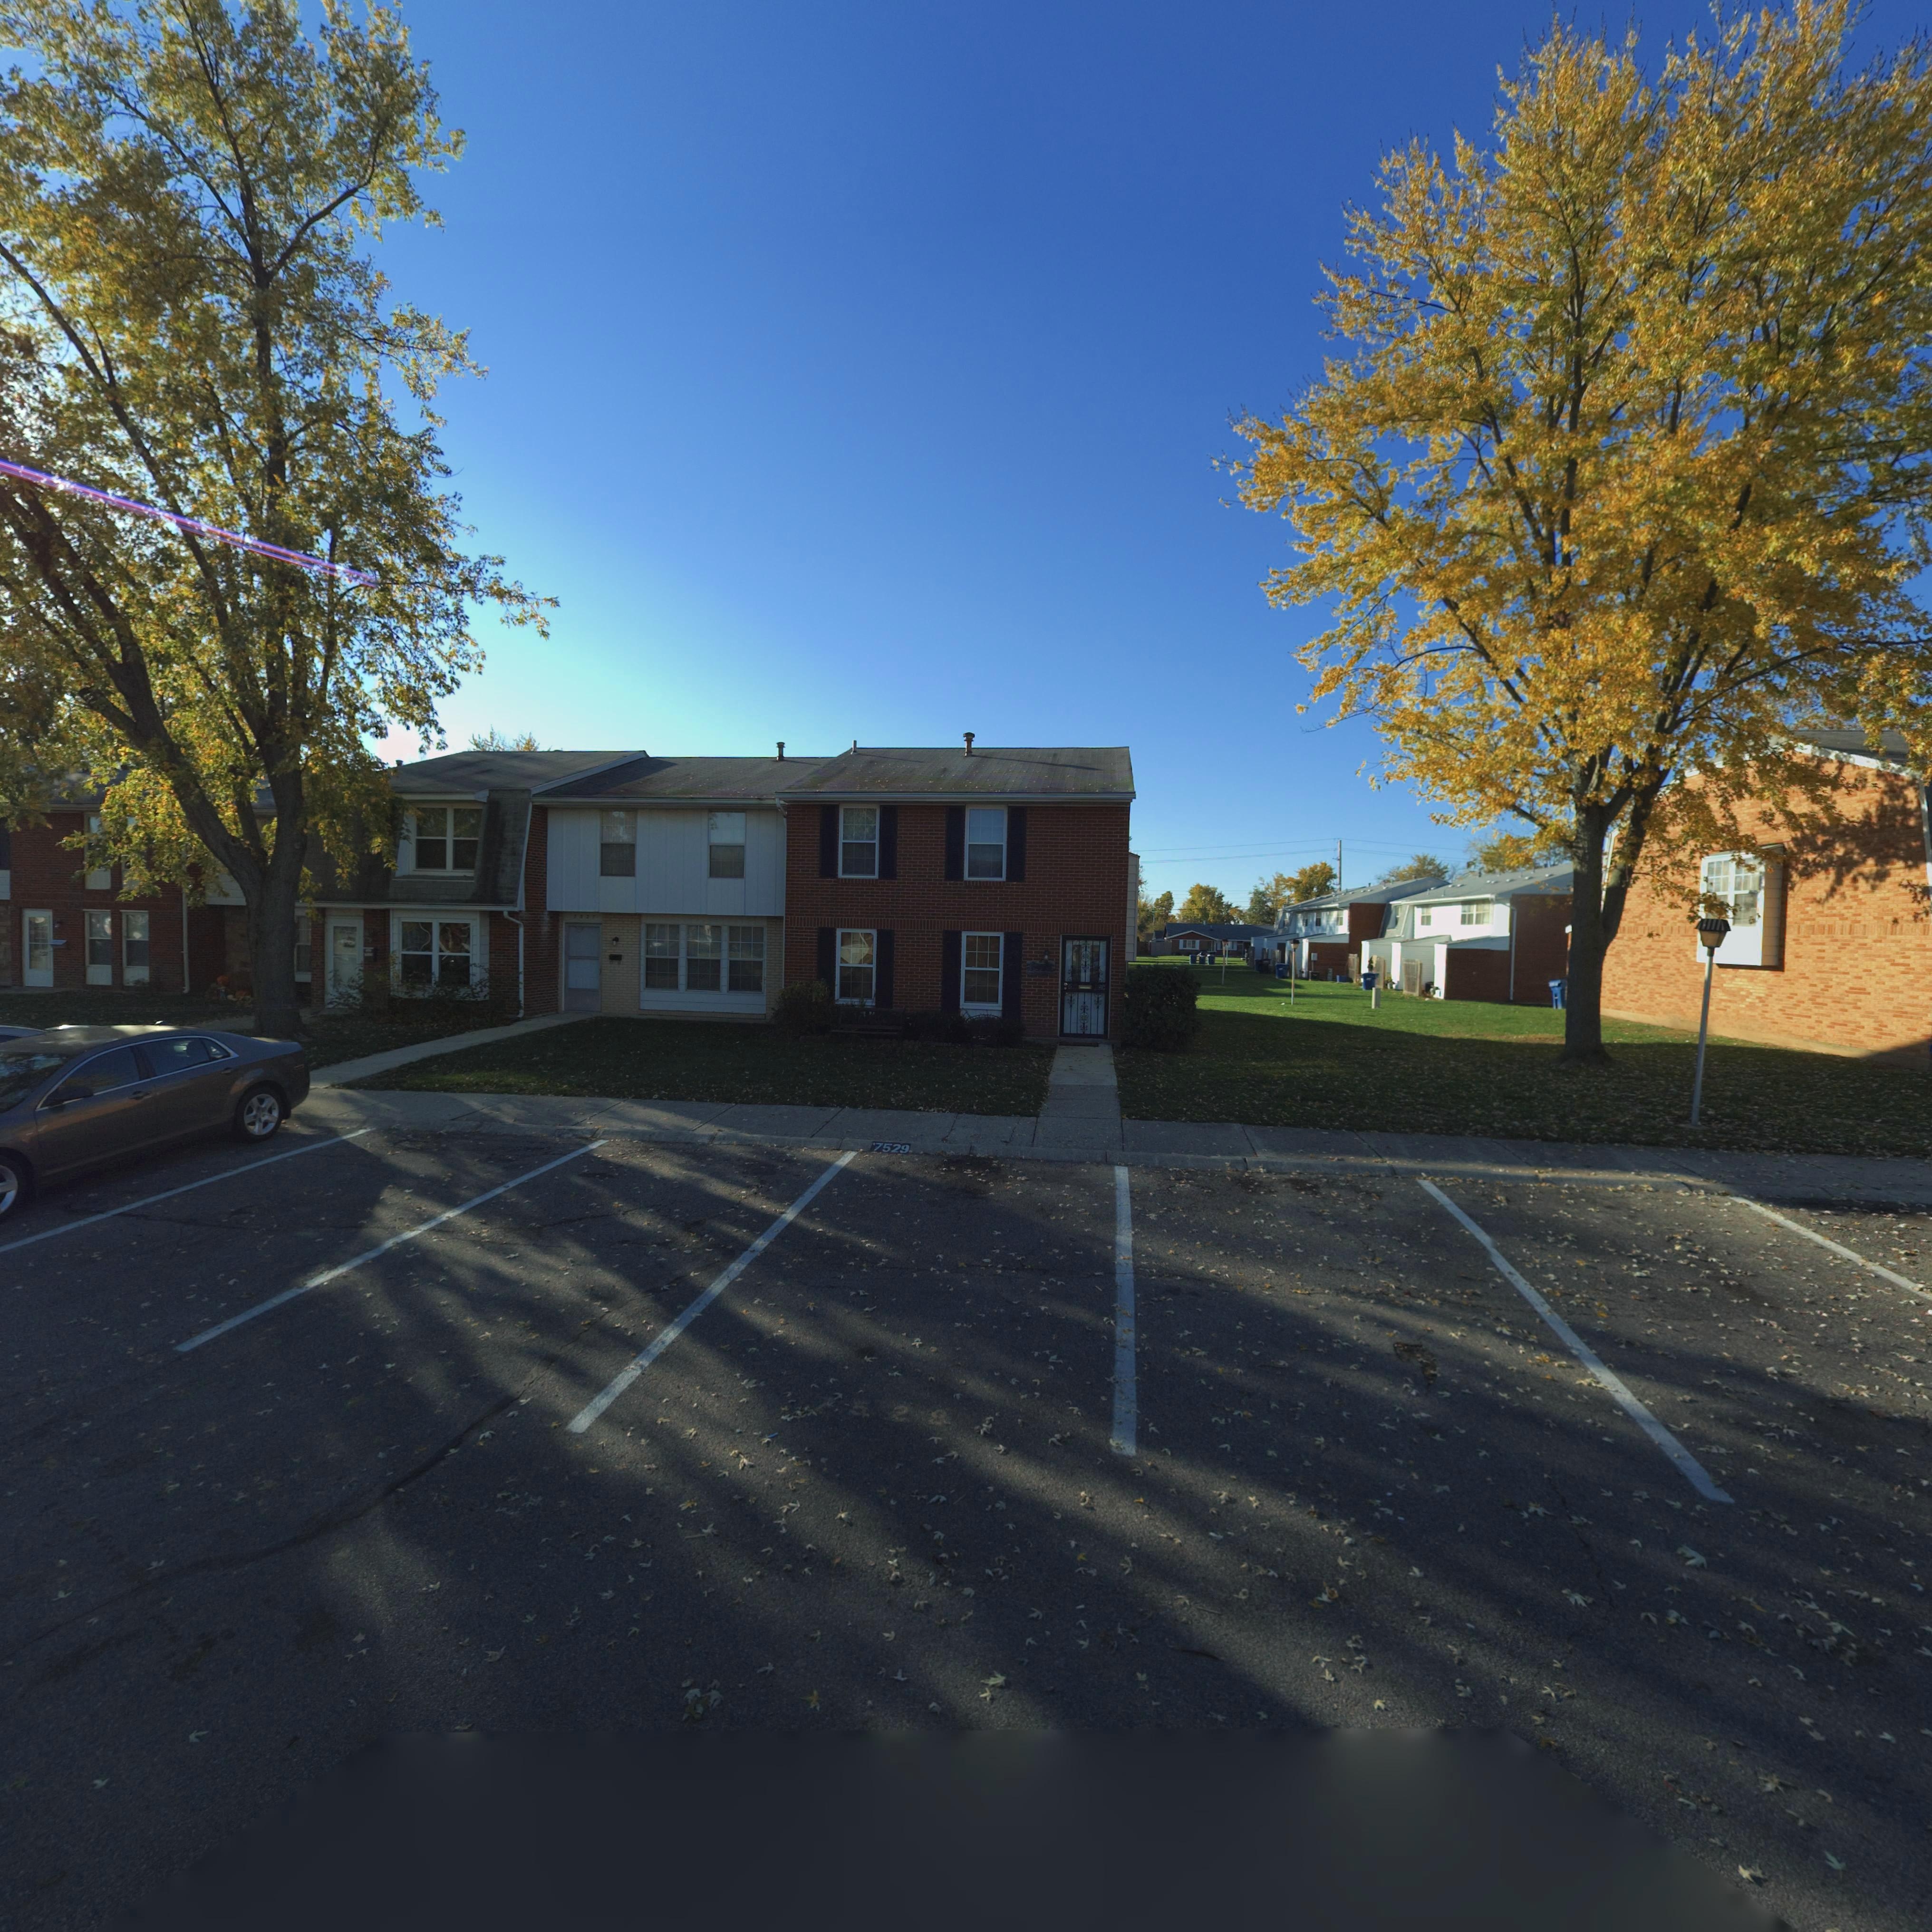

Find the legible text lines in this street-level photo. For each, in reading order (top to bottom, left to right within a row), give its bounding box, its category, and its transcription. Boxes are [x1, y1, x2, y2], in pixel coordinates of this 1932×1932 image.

[572, 914, 596, 919] StreetNumber: 7527
[1029, 963, 1054, 972] StreetNumber: 752*
[873, 1142, 910, 1154] StreetNumber: 7529